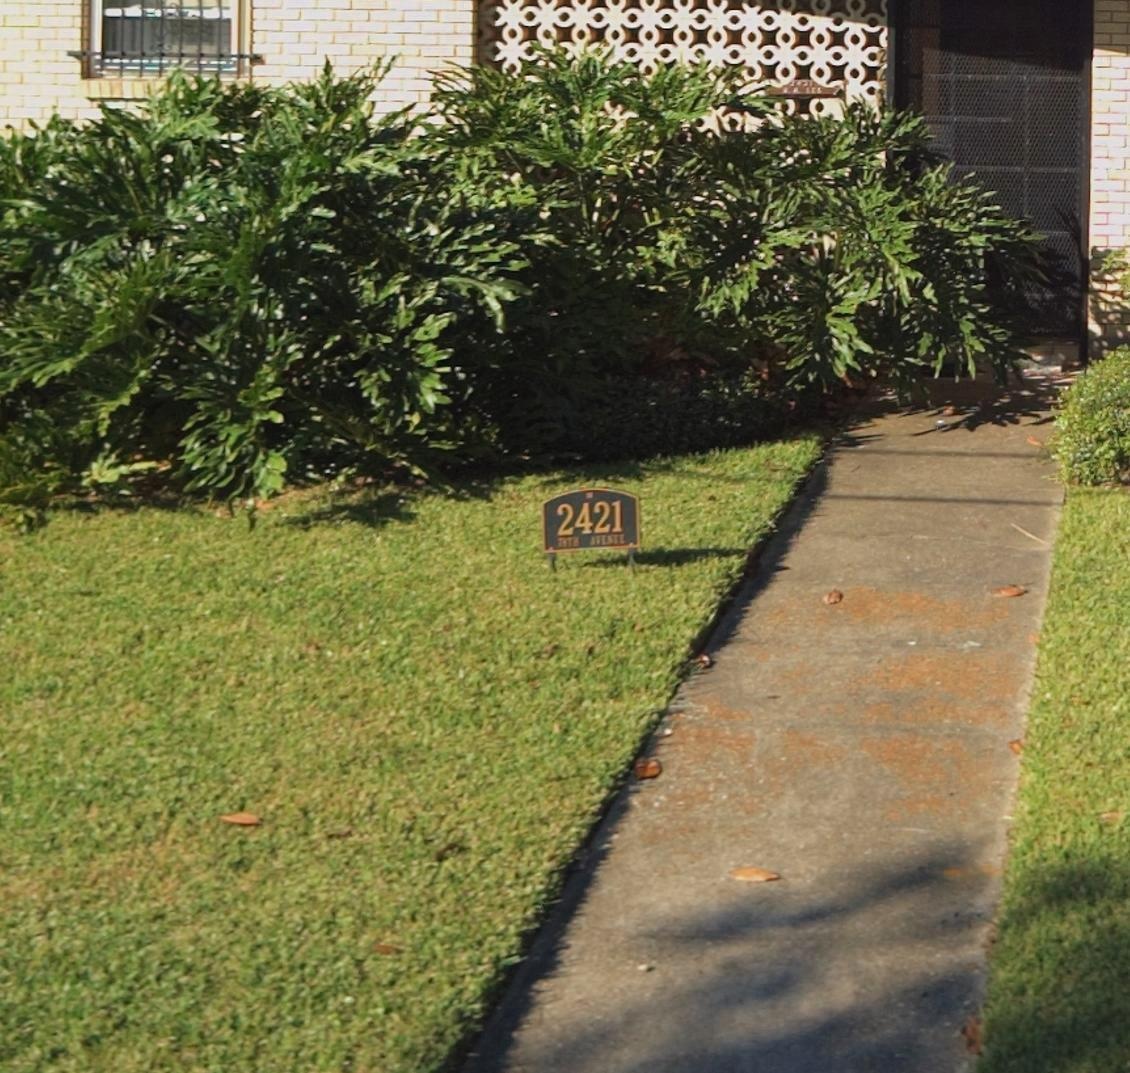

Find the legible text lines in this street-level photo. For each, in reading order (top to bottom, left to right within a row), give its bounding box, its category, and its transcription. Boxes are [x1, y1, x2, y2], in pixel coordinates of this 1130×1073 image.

[555, 498, 626, 537] StreetNumber: 2421
[556, 533, 626, 548] StreetName: 70TH AVEN*E